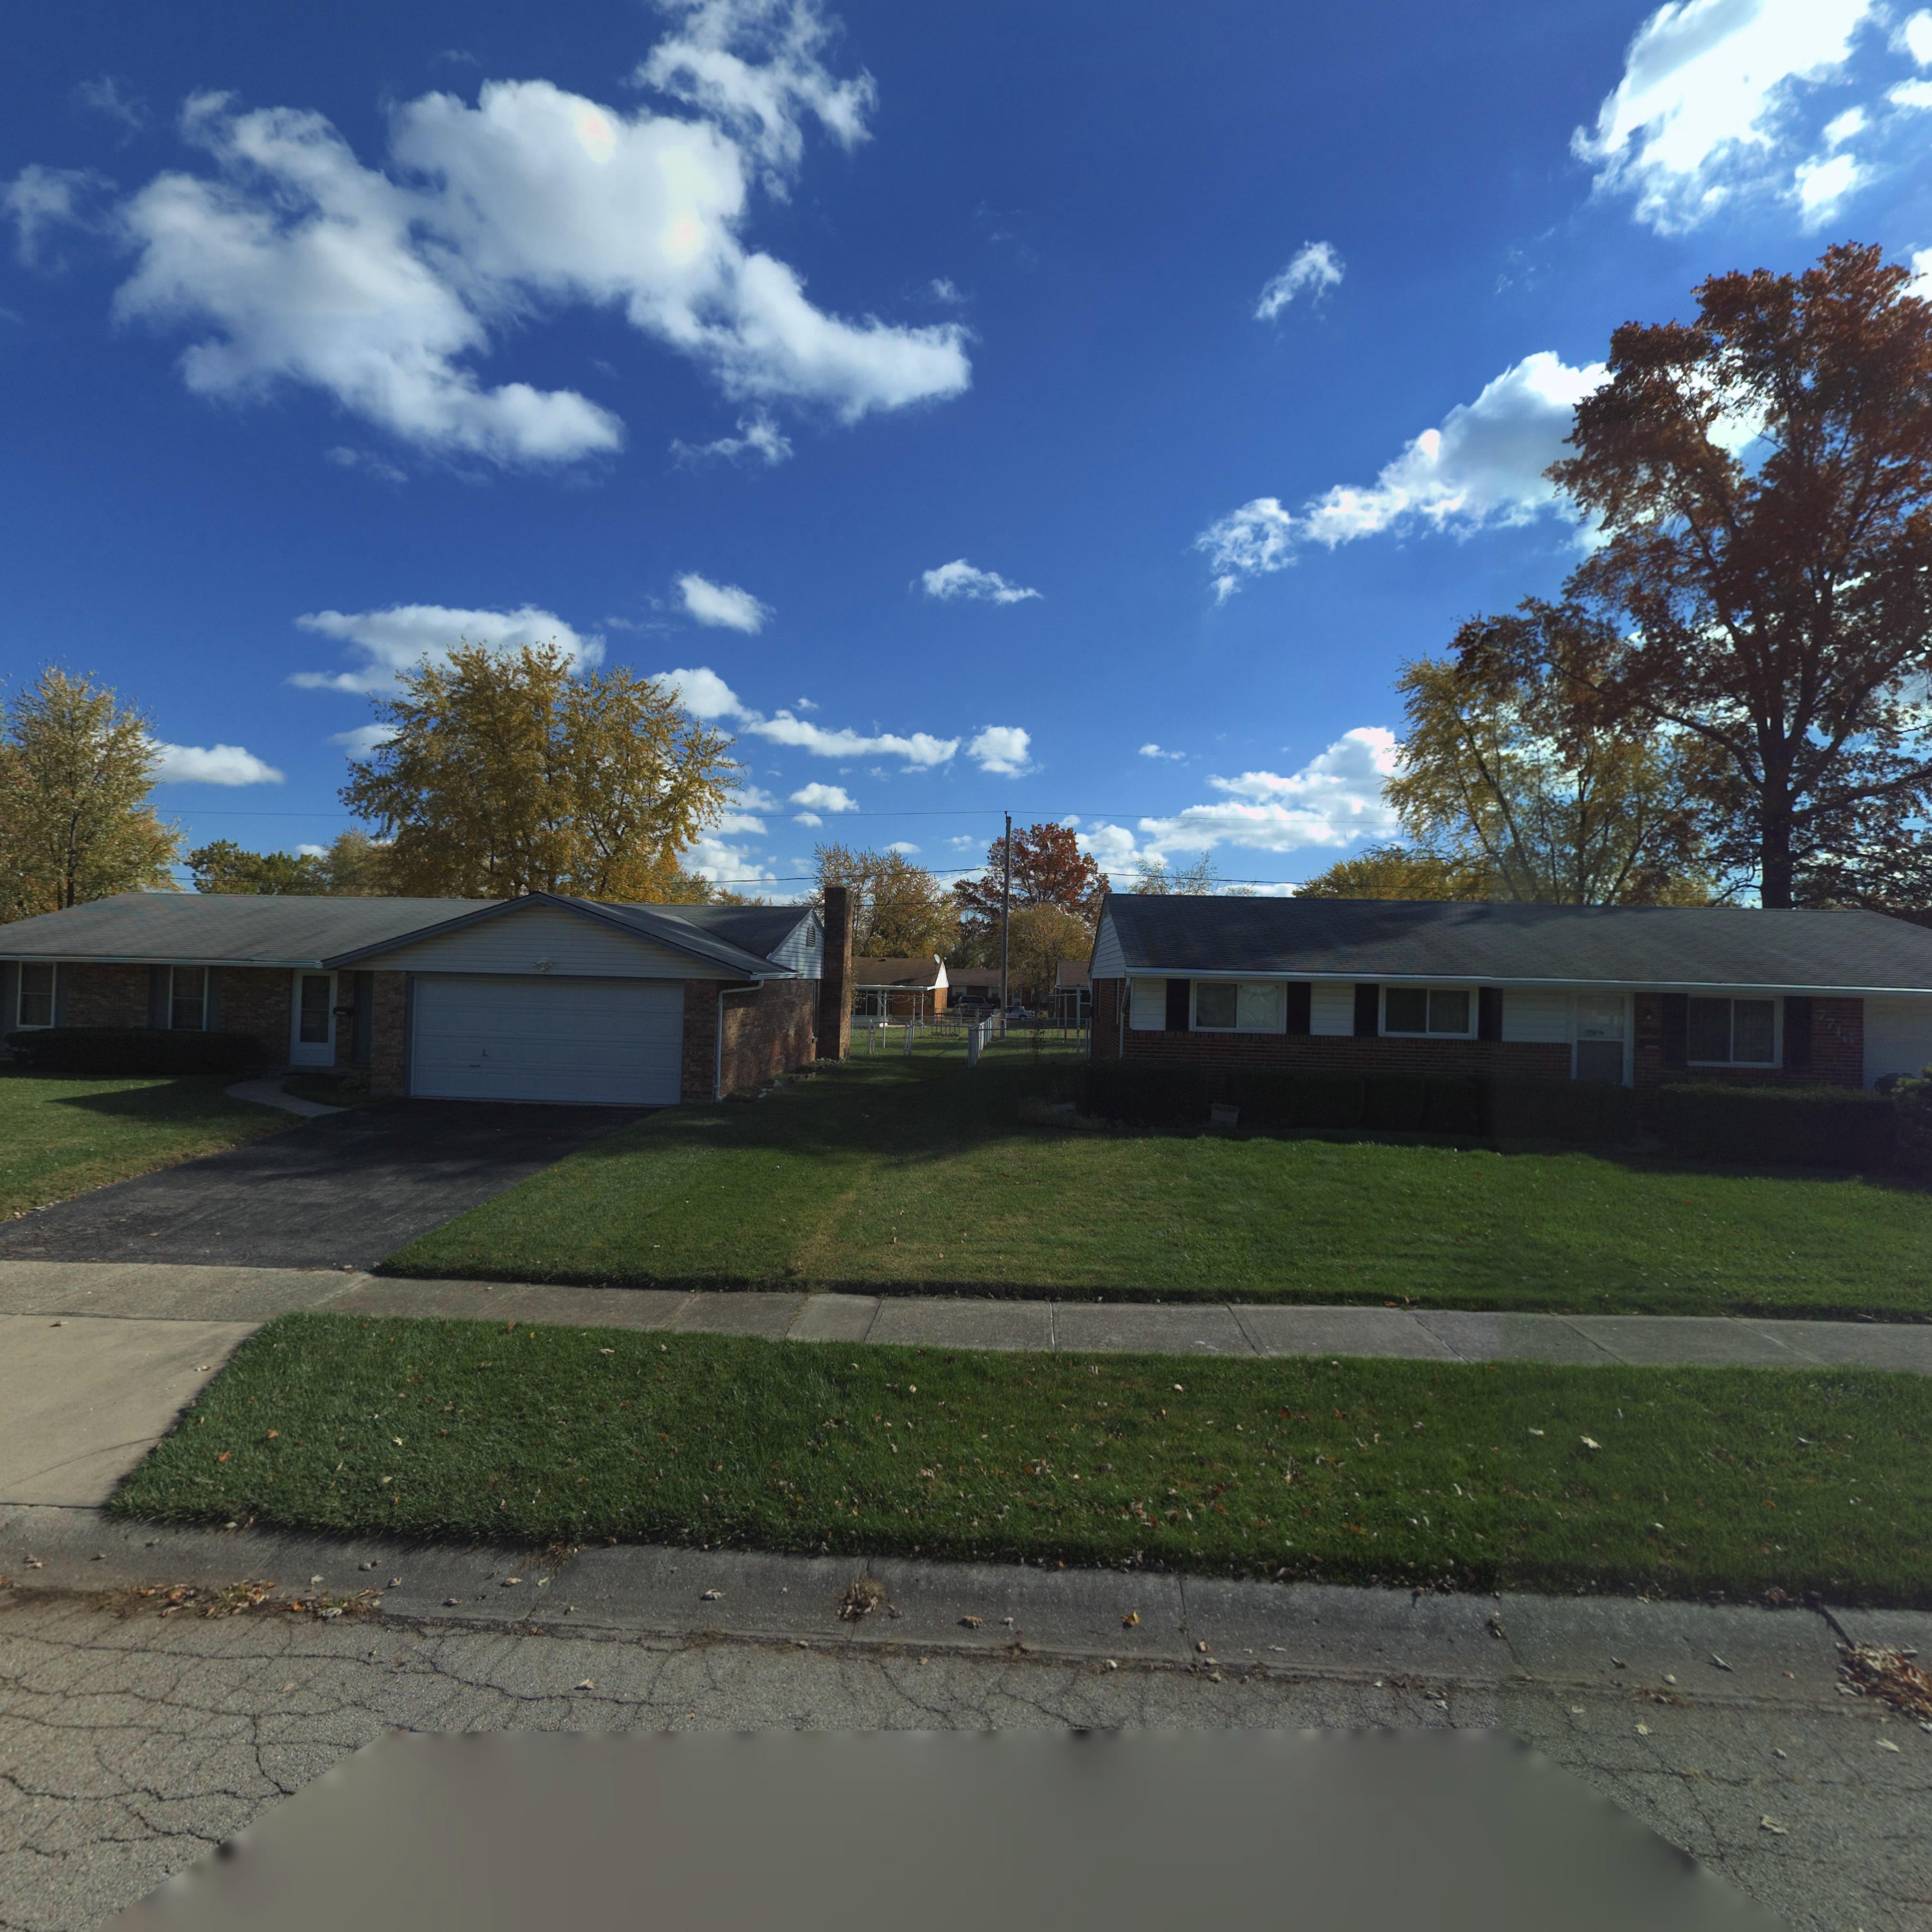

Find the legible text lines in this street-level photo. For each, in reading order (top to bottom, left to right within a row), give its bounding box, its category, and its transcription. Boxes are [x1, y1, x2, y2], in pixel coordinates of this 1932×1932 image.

[1815, 1008, 1855, 1048] StreetNumber: 7746